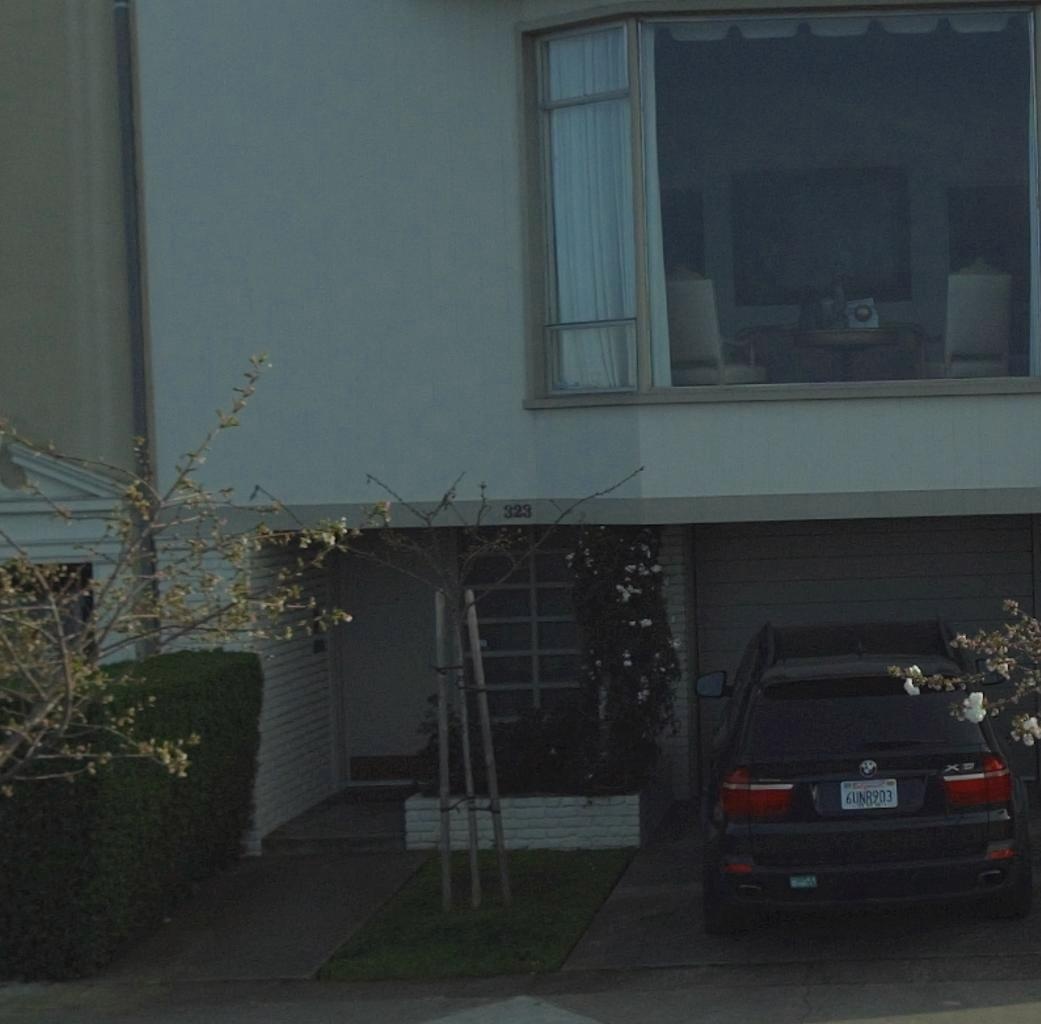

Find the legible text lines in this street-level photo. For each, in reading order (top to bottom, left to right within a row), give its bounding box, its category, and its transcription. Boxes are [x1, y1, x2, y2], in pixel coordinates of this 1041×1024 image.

[501, 502, 534, 521] StreetNumber: 323
[943, 761, 963, 774] None: X
[844, 787, 895, 807] None: 6UNR903